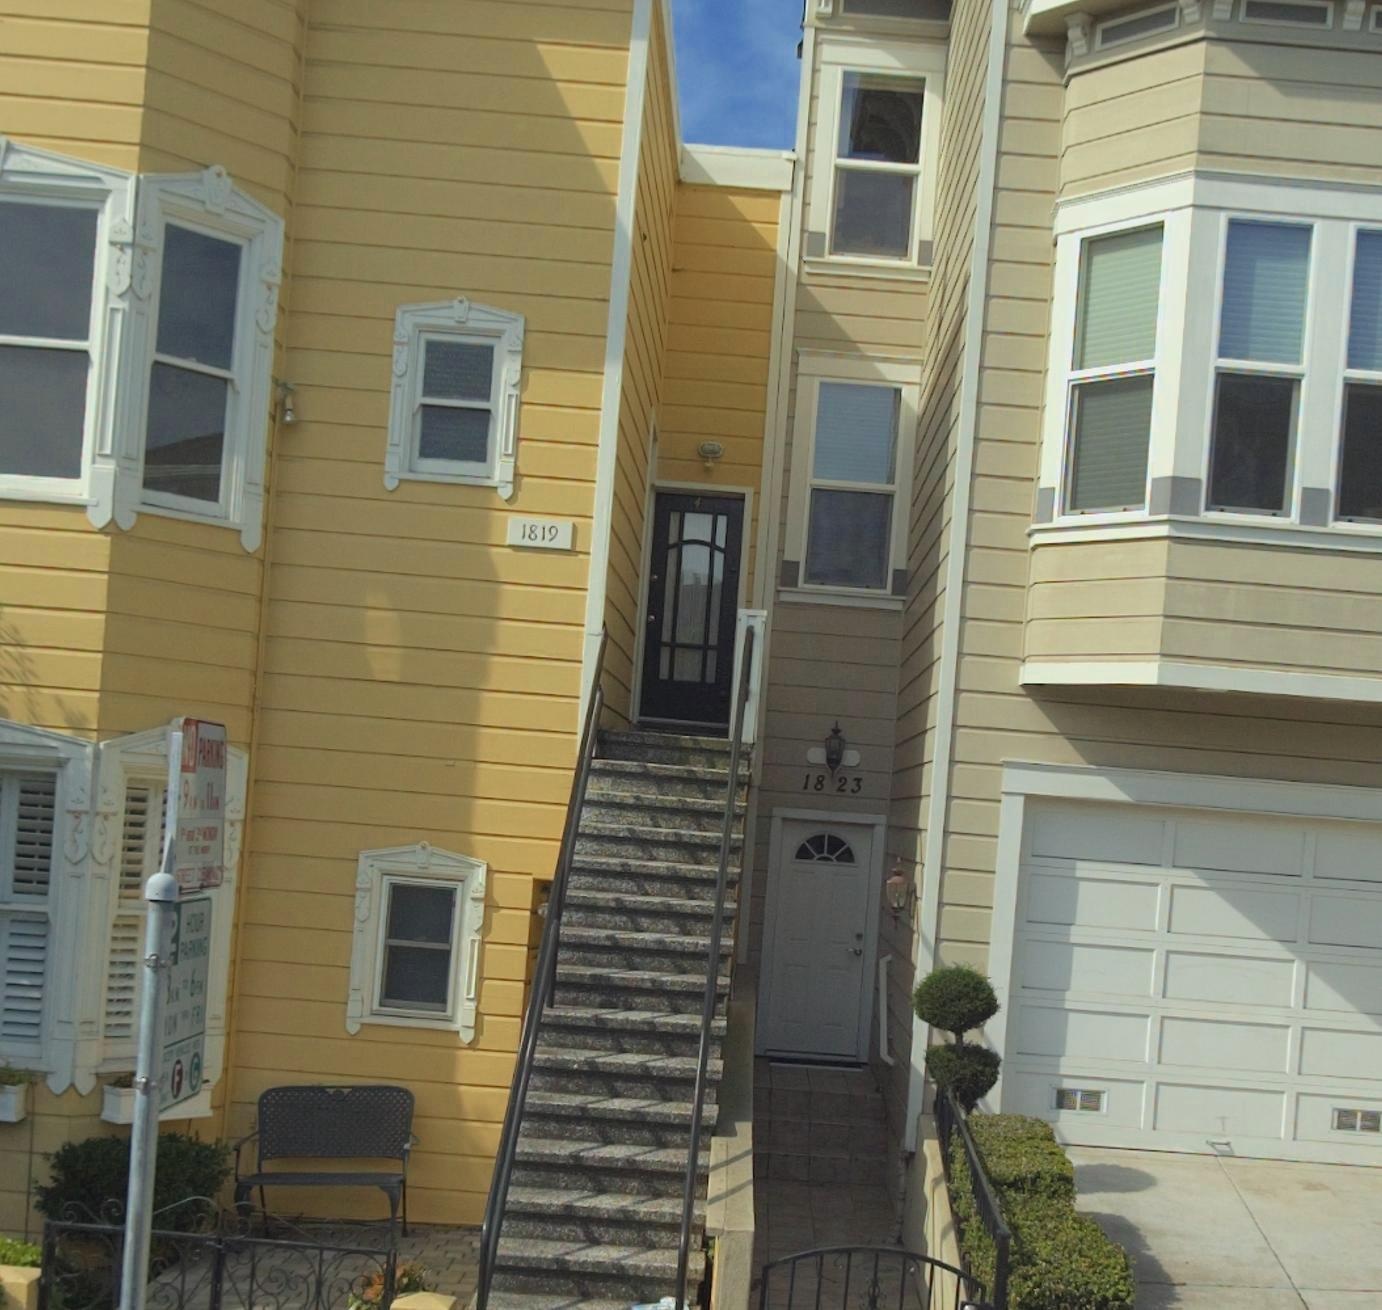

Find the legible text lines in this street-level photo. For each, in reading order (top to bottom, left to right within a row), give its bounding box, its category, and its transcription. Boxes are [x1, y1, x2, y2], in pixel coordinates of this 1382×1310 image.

[519, 520, 560, 545] StreetNumber: 1819
[188, 723, 205, 769] None: O P
[180, 776, 192, 812] None: 9
[204, 779, 216, 813] None: 11
[800, 771, 866, 797] StreetNumber: 18 23
[186, 964, 199, 999] None: 6
[172, 1060, 183, 1100] None: F
[189, 1053, 201, 1090] None: G